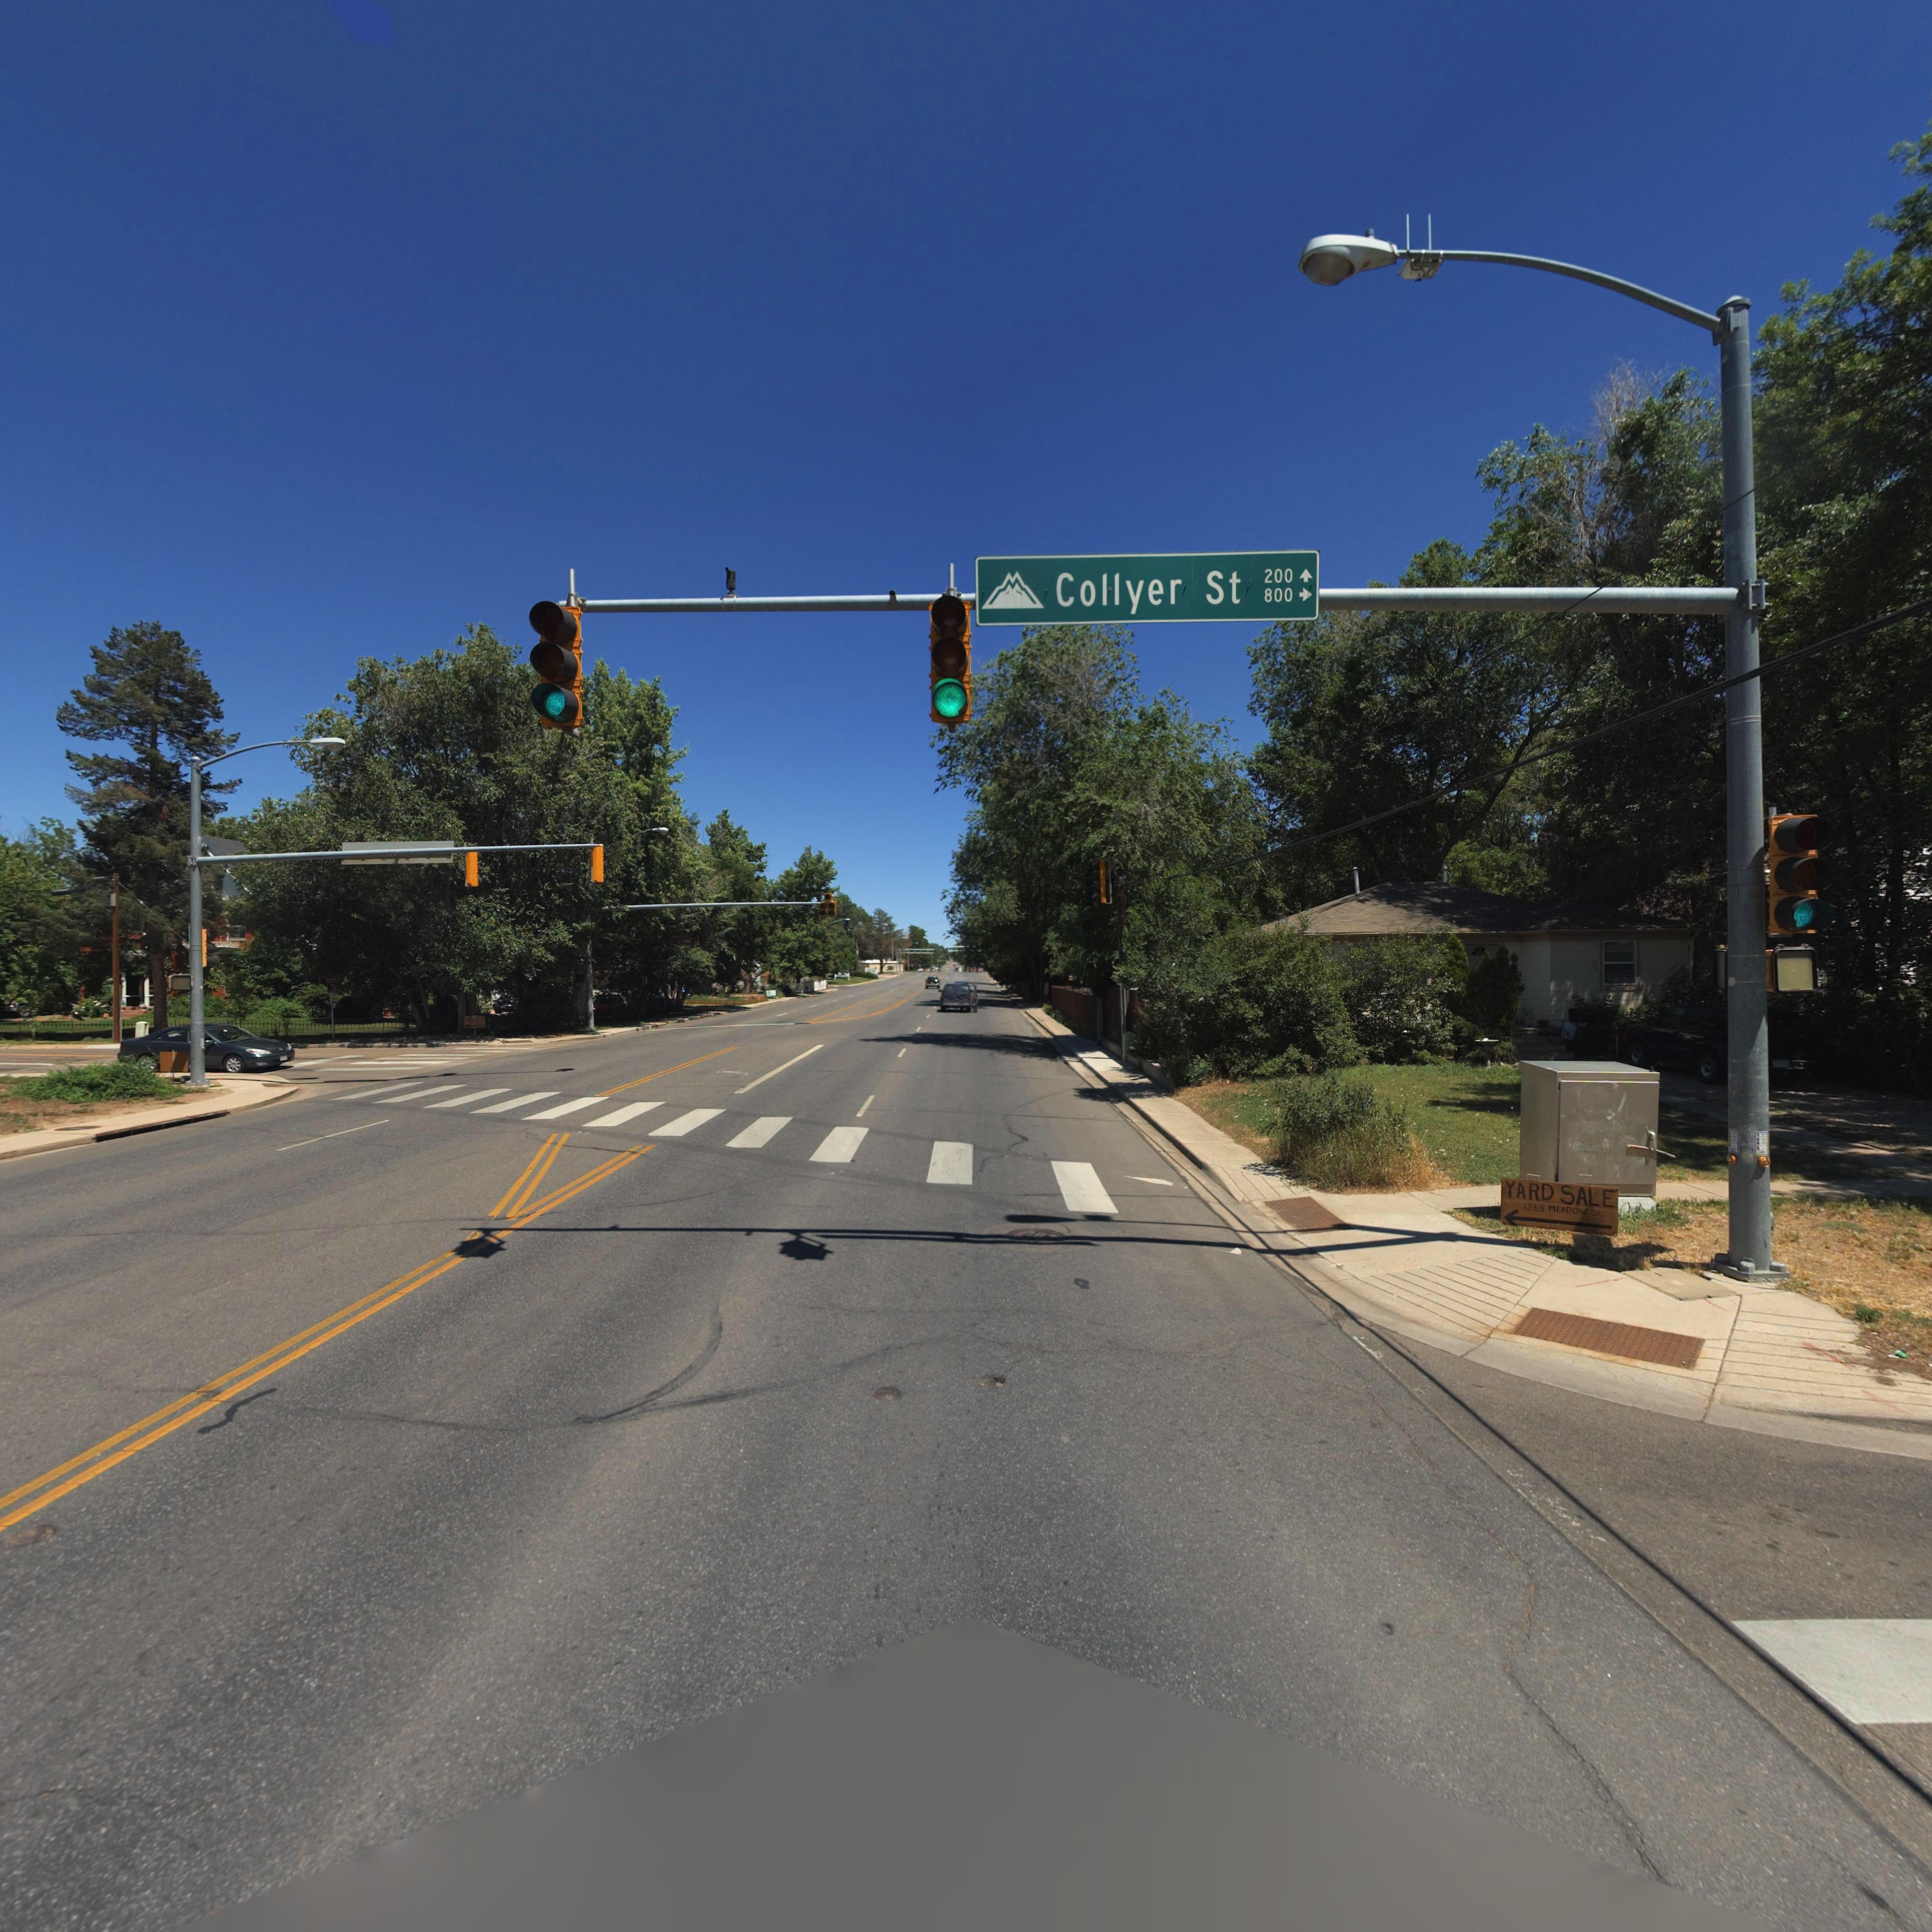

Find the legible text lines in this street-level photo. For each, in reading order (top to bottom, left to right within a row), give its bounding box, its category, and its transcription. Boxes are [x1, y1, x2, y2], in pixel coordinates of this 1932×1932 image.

[1264, 568, 1293, 583] StreetNumberRange: 200
[1055, 569, 1241, 615] StreetName: Collyer St 
[1264, 587, 1313, 603] StreetNumberRange: 800->